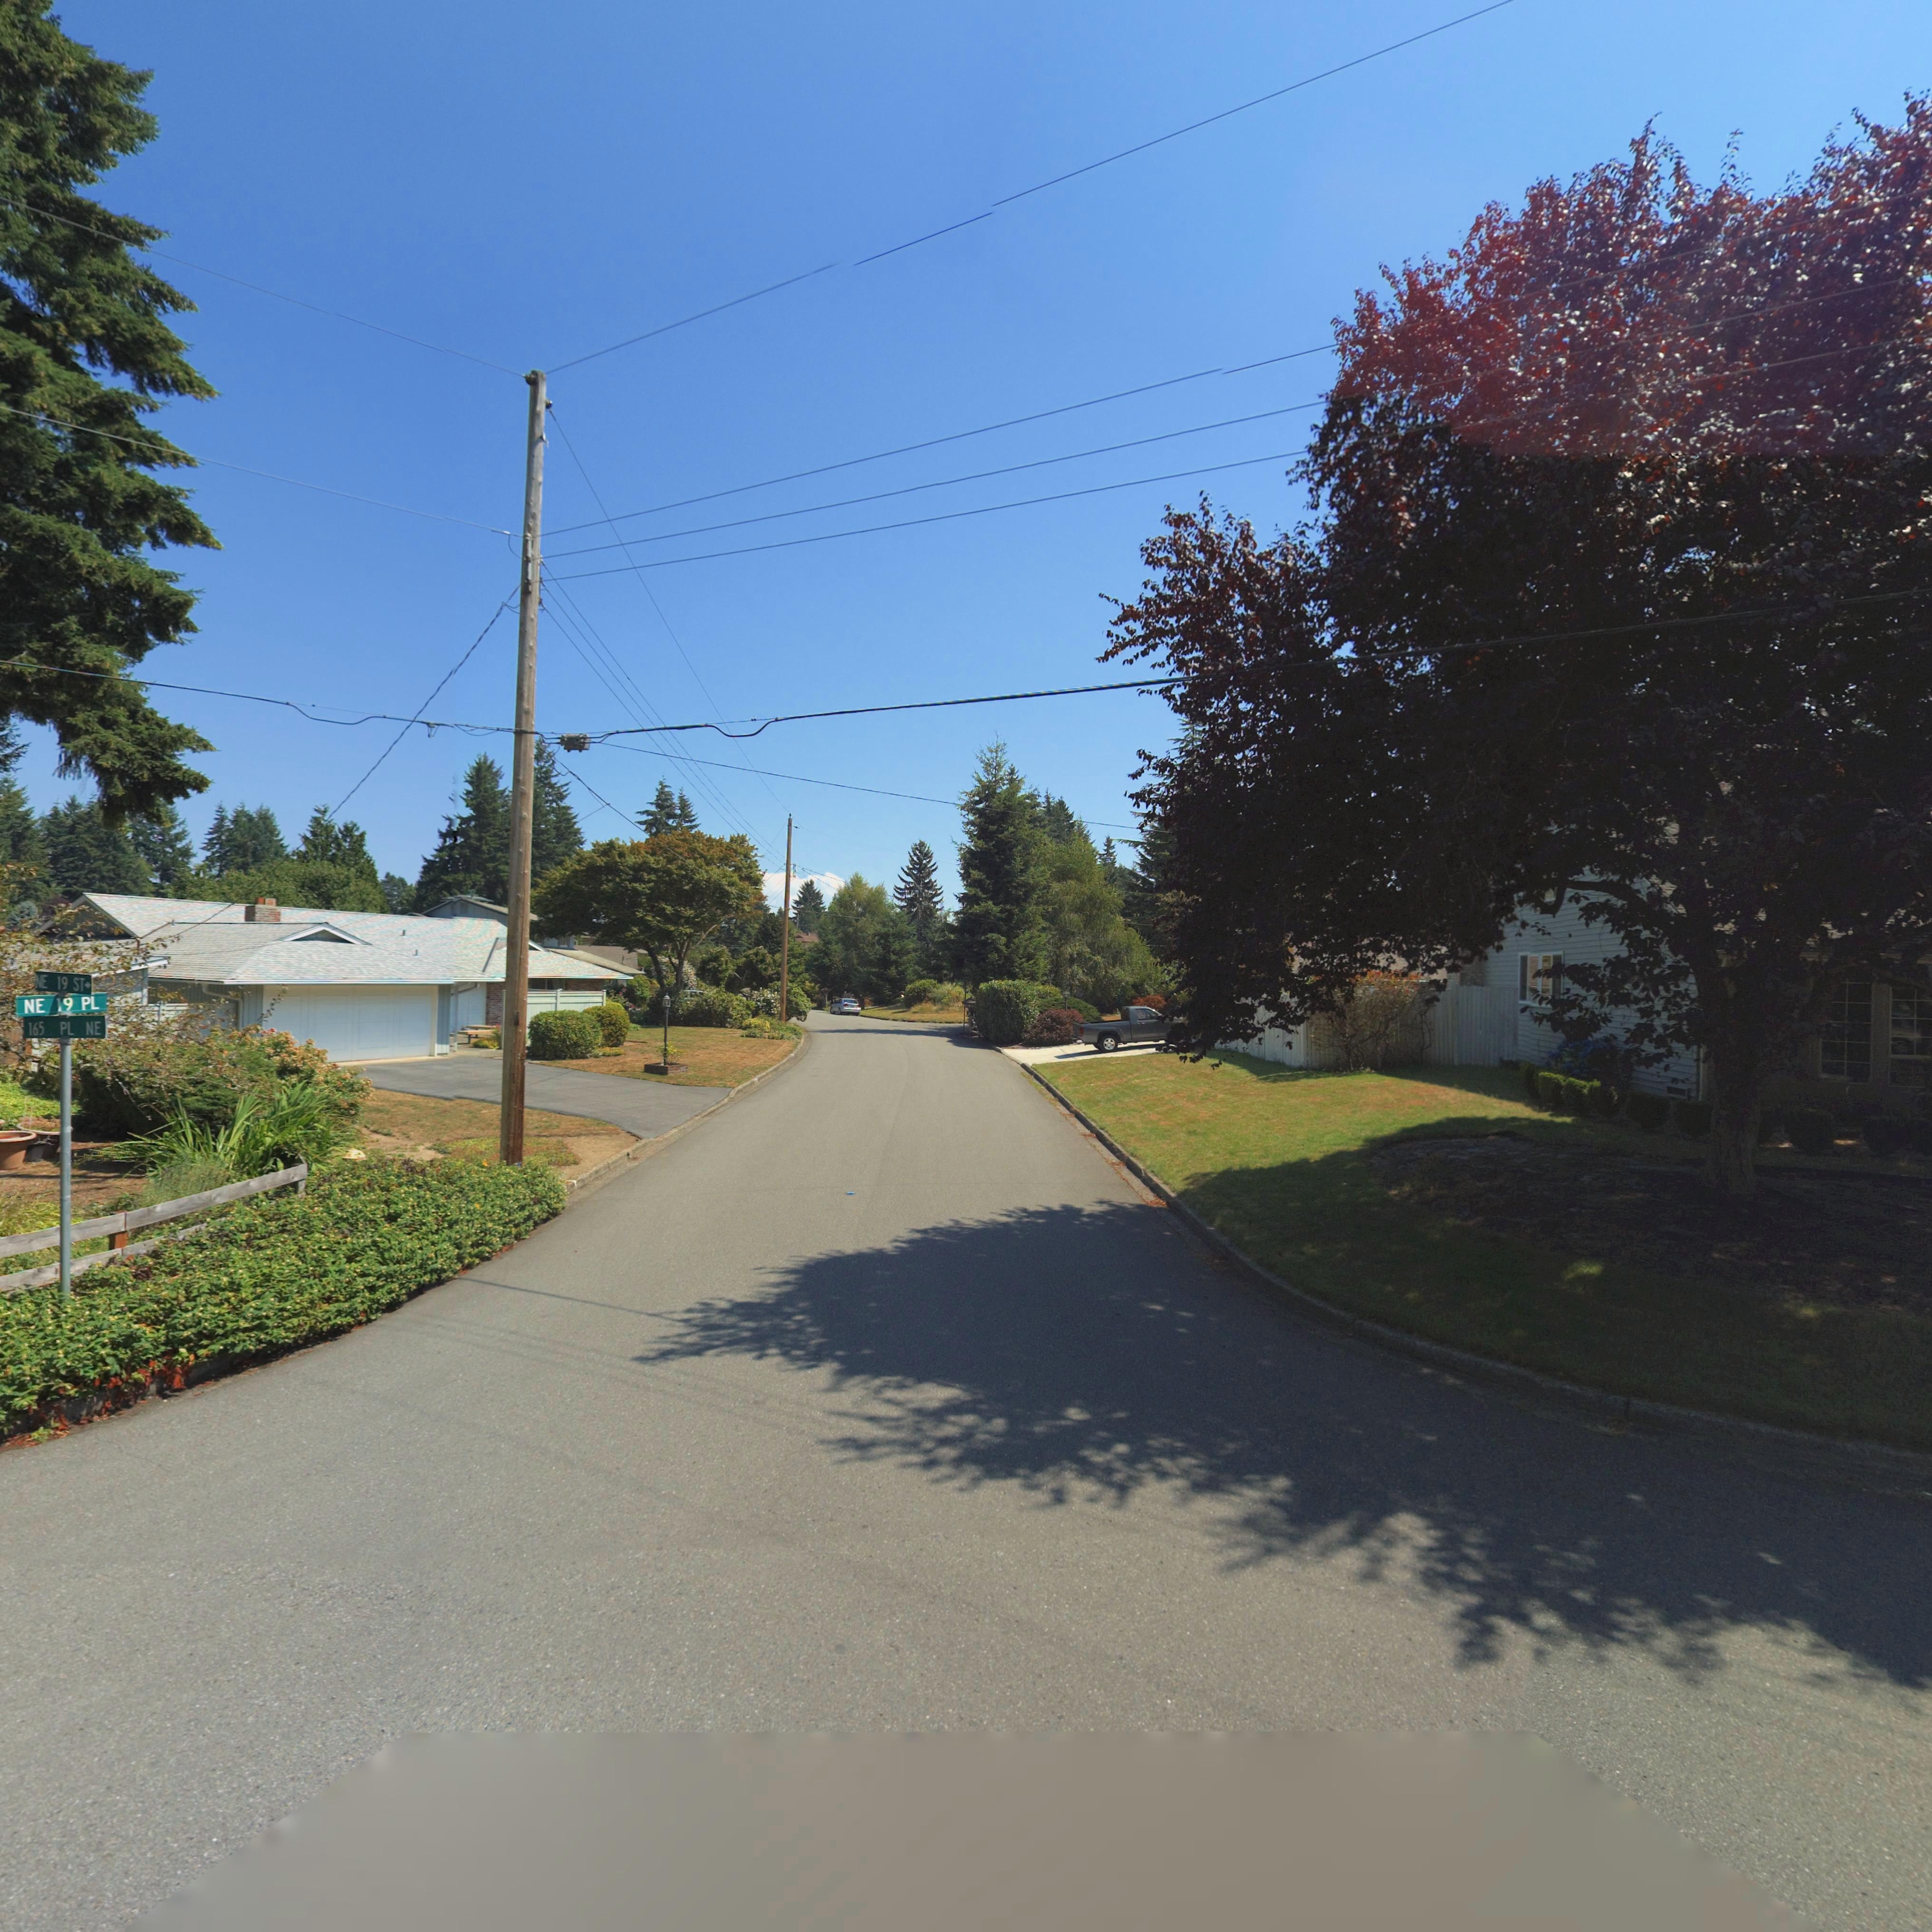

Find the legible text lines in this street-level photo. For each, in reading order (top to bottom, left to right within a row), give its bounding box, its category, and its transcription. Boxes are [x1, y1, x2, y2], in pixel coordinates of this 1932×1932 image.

[34, 974, 91, 993] StreetName: NE 19 ST ->
[23, 996, 99, 1014] StreetName: NE 19 PL
[28, 1021, 103, 1035] StreetName: 65 PL NE